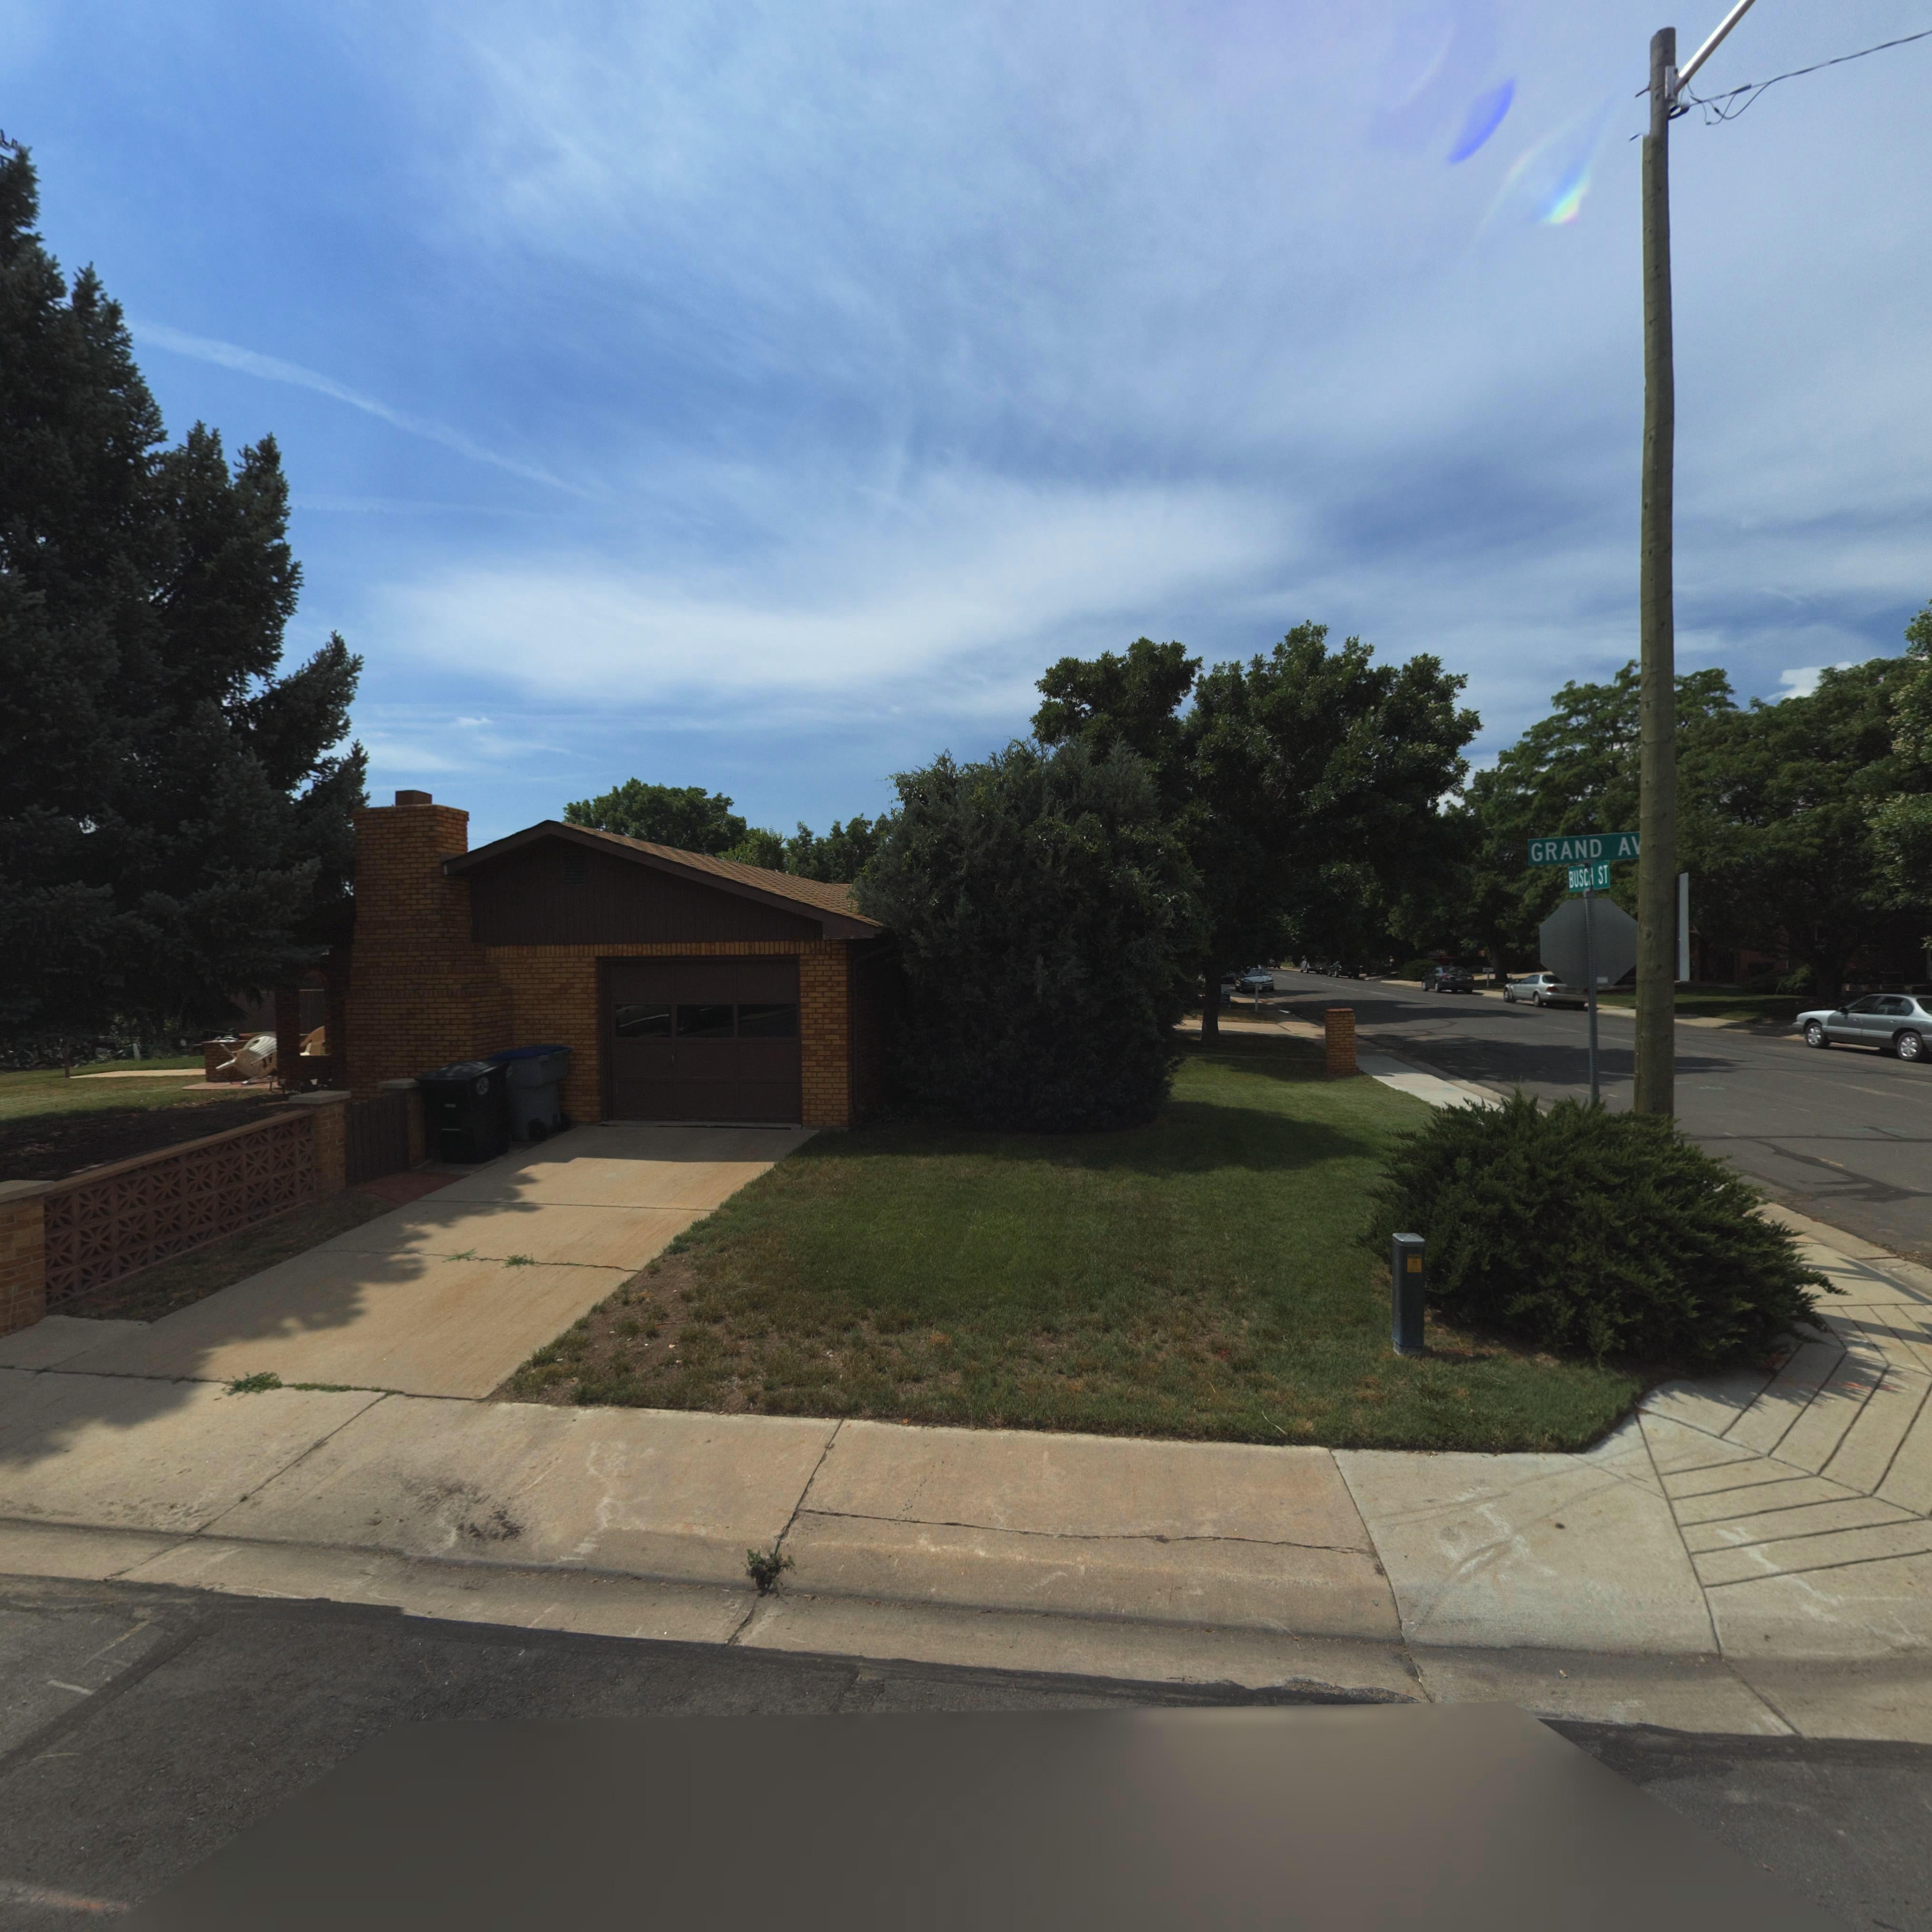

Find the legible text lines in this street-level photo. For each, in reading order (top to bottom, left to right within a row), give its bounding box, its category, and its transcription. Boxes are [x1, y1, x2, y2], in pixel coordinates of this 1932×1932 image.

[1529, 834, 1642, 863] StreetName: GRAND A*
[1567, 863, 1609, 889] StreetName: BUSCH ST